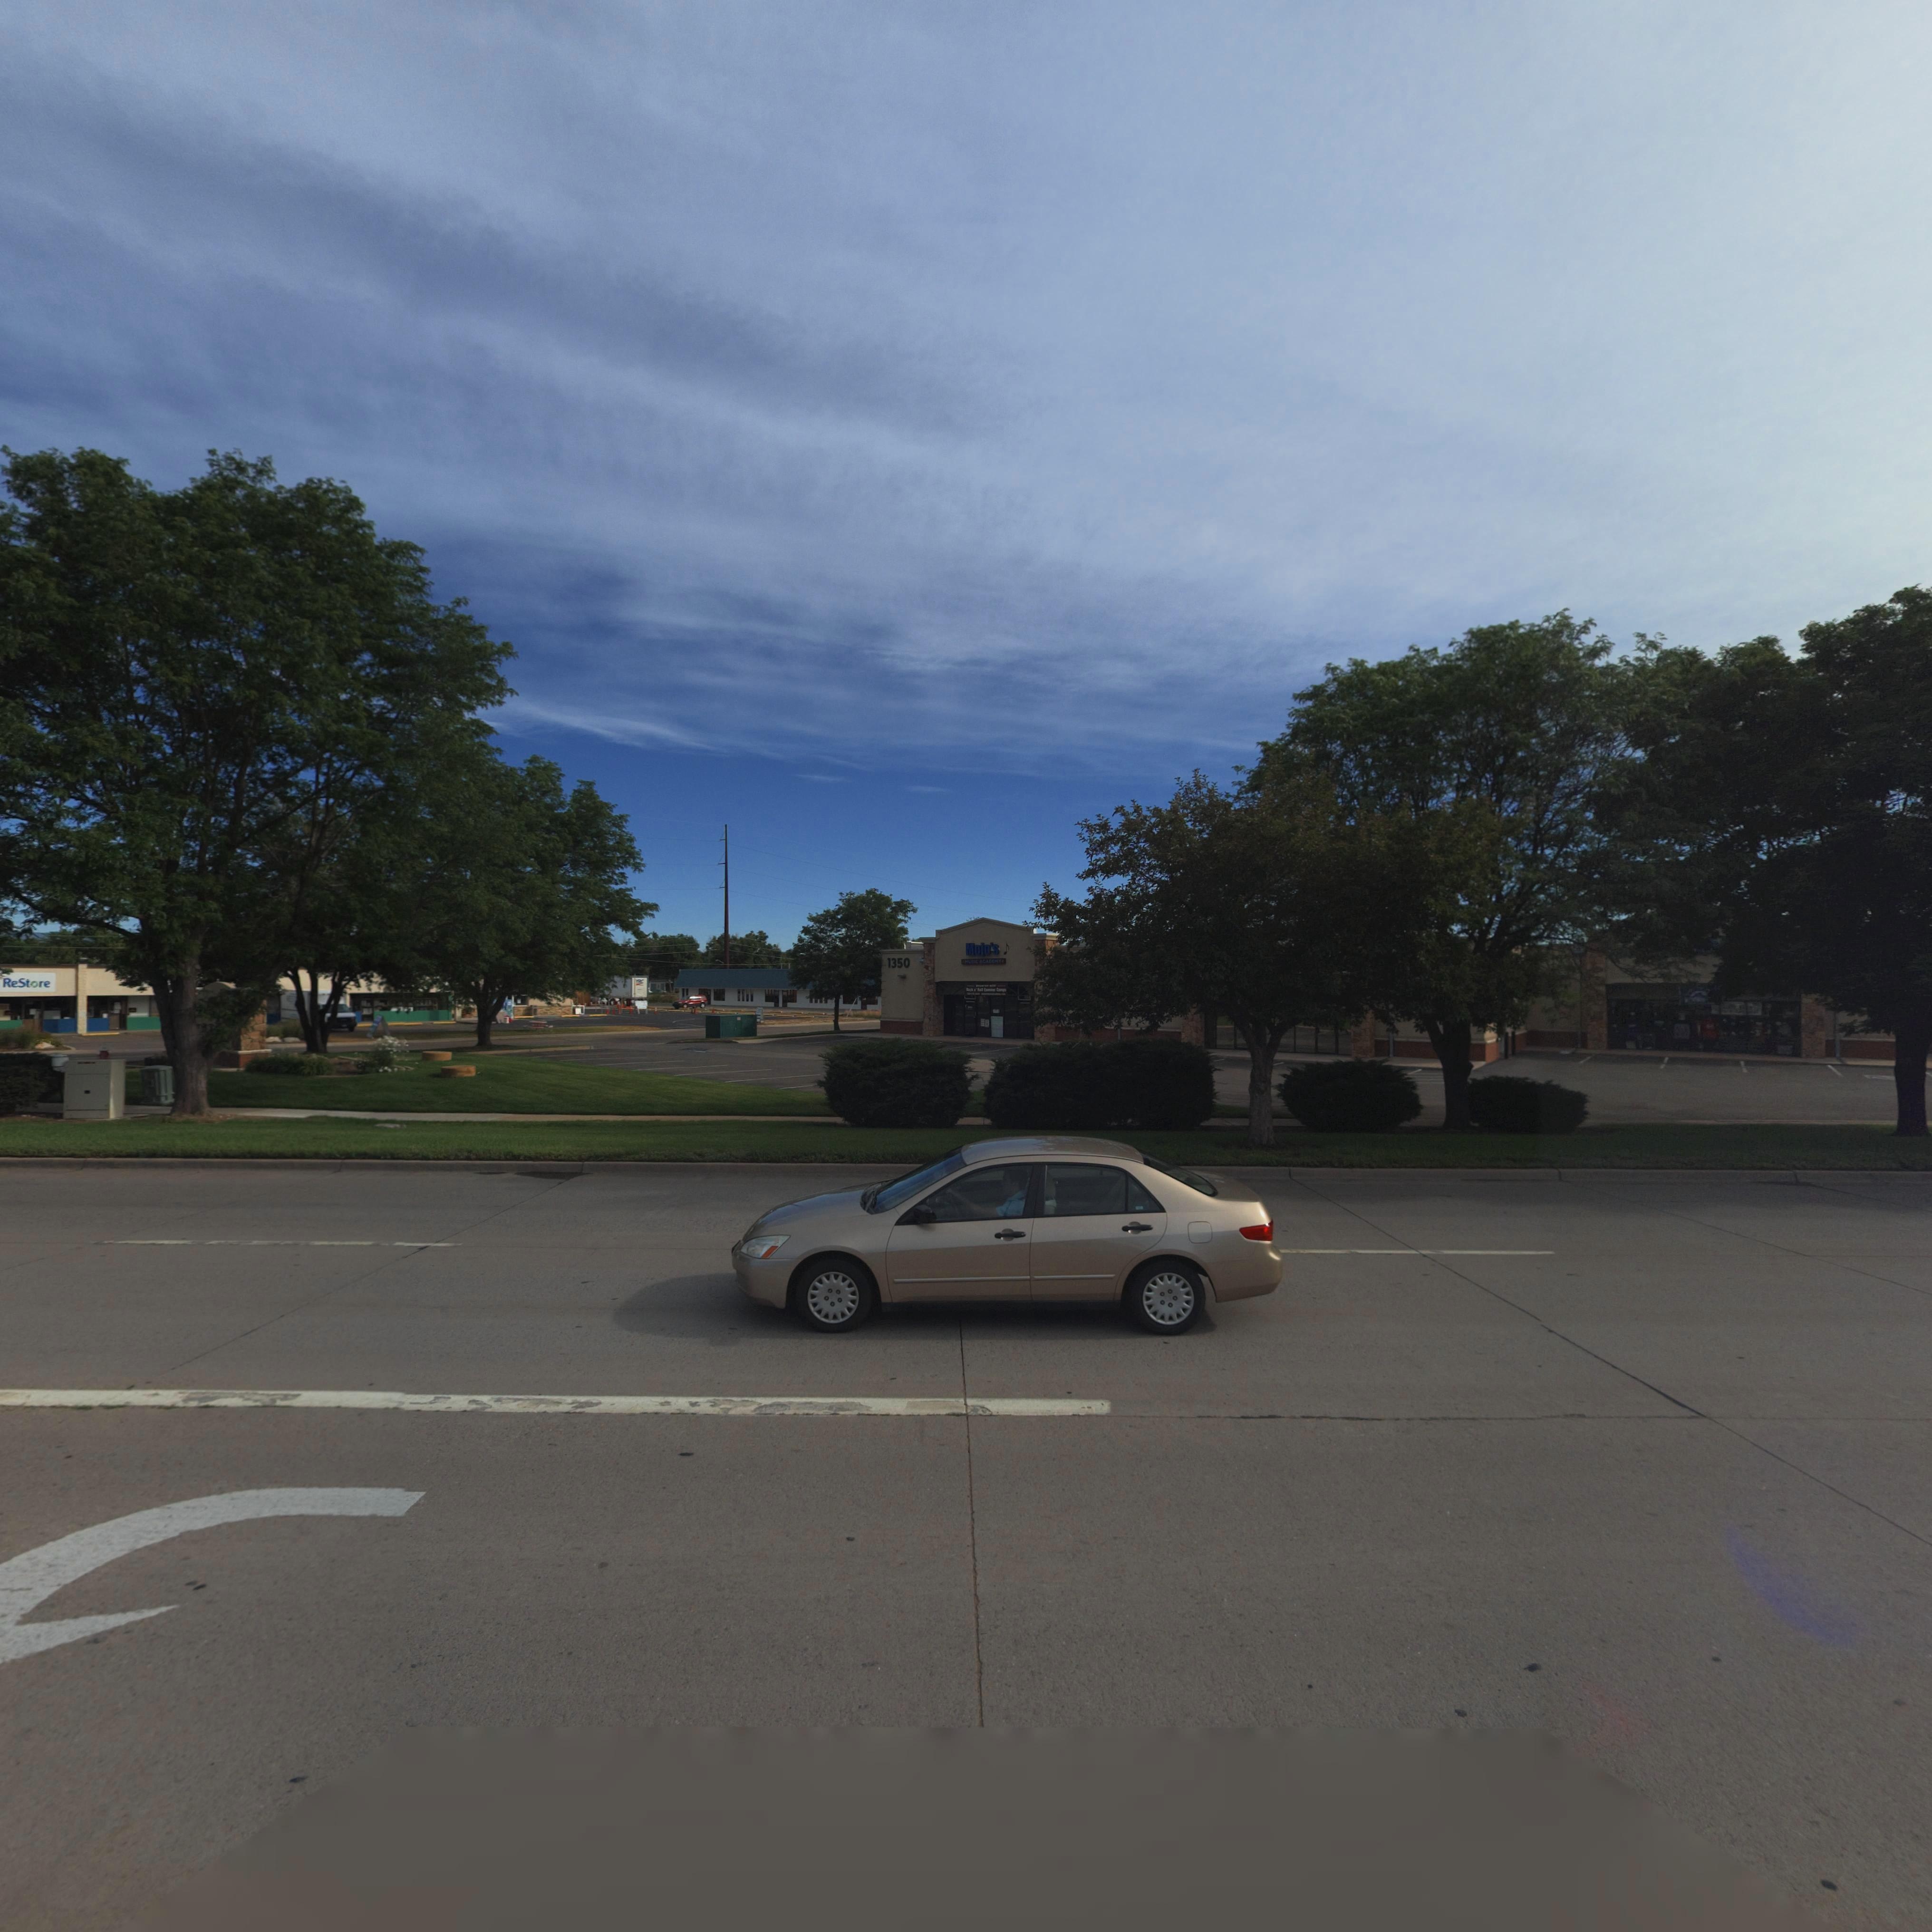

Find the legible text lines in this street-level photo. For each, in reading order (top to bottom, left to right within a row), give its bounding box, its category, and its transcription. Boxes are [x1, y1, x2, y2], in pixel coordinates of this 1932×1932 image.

[965, 941, 1000, 956] BusinessName: Mojo's
[886, 956, 911, 968] StreetNumber: 1350
[3, 977, 50, 988] BusinessName: ReStore